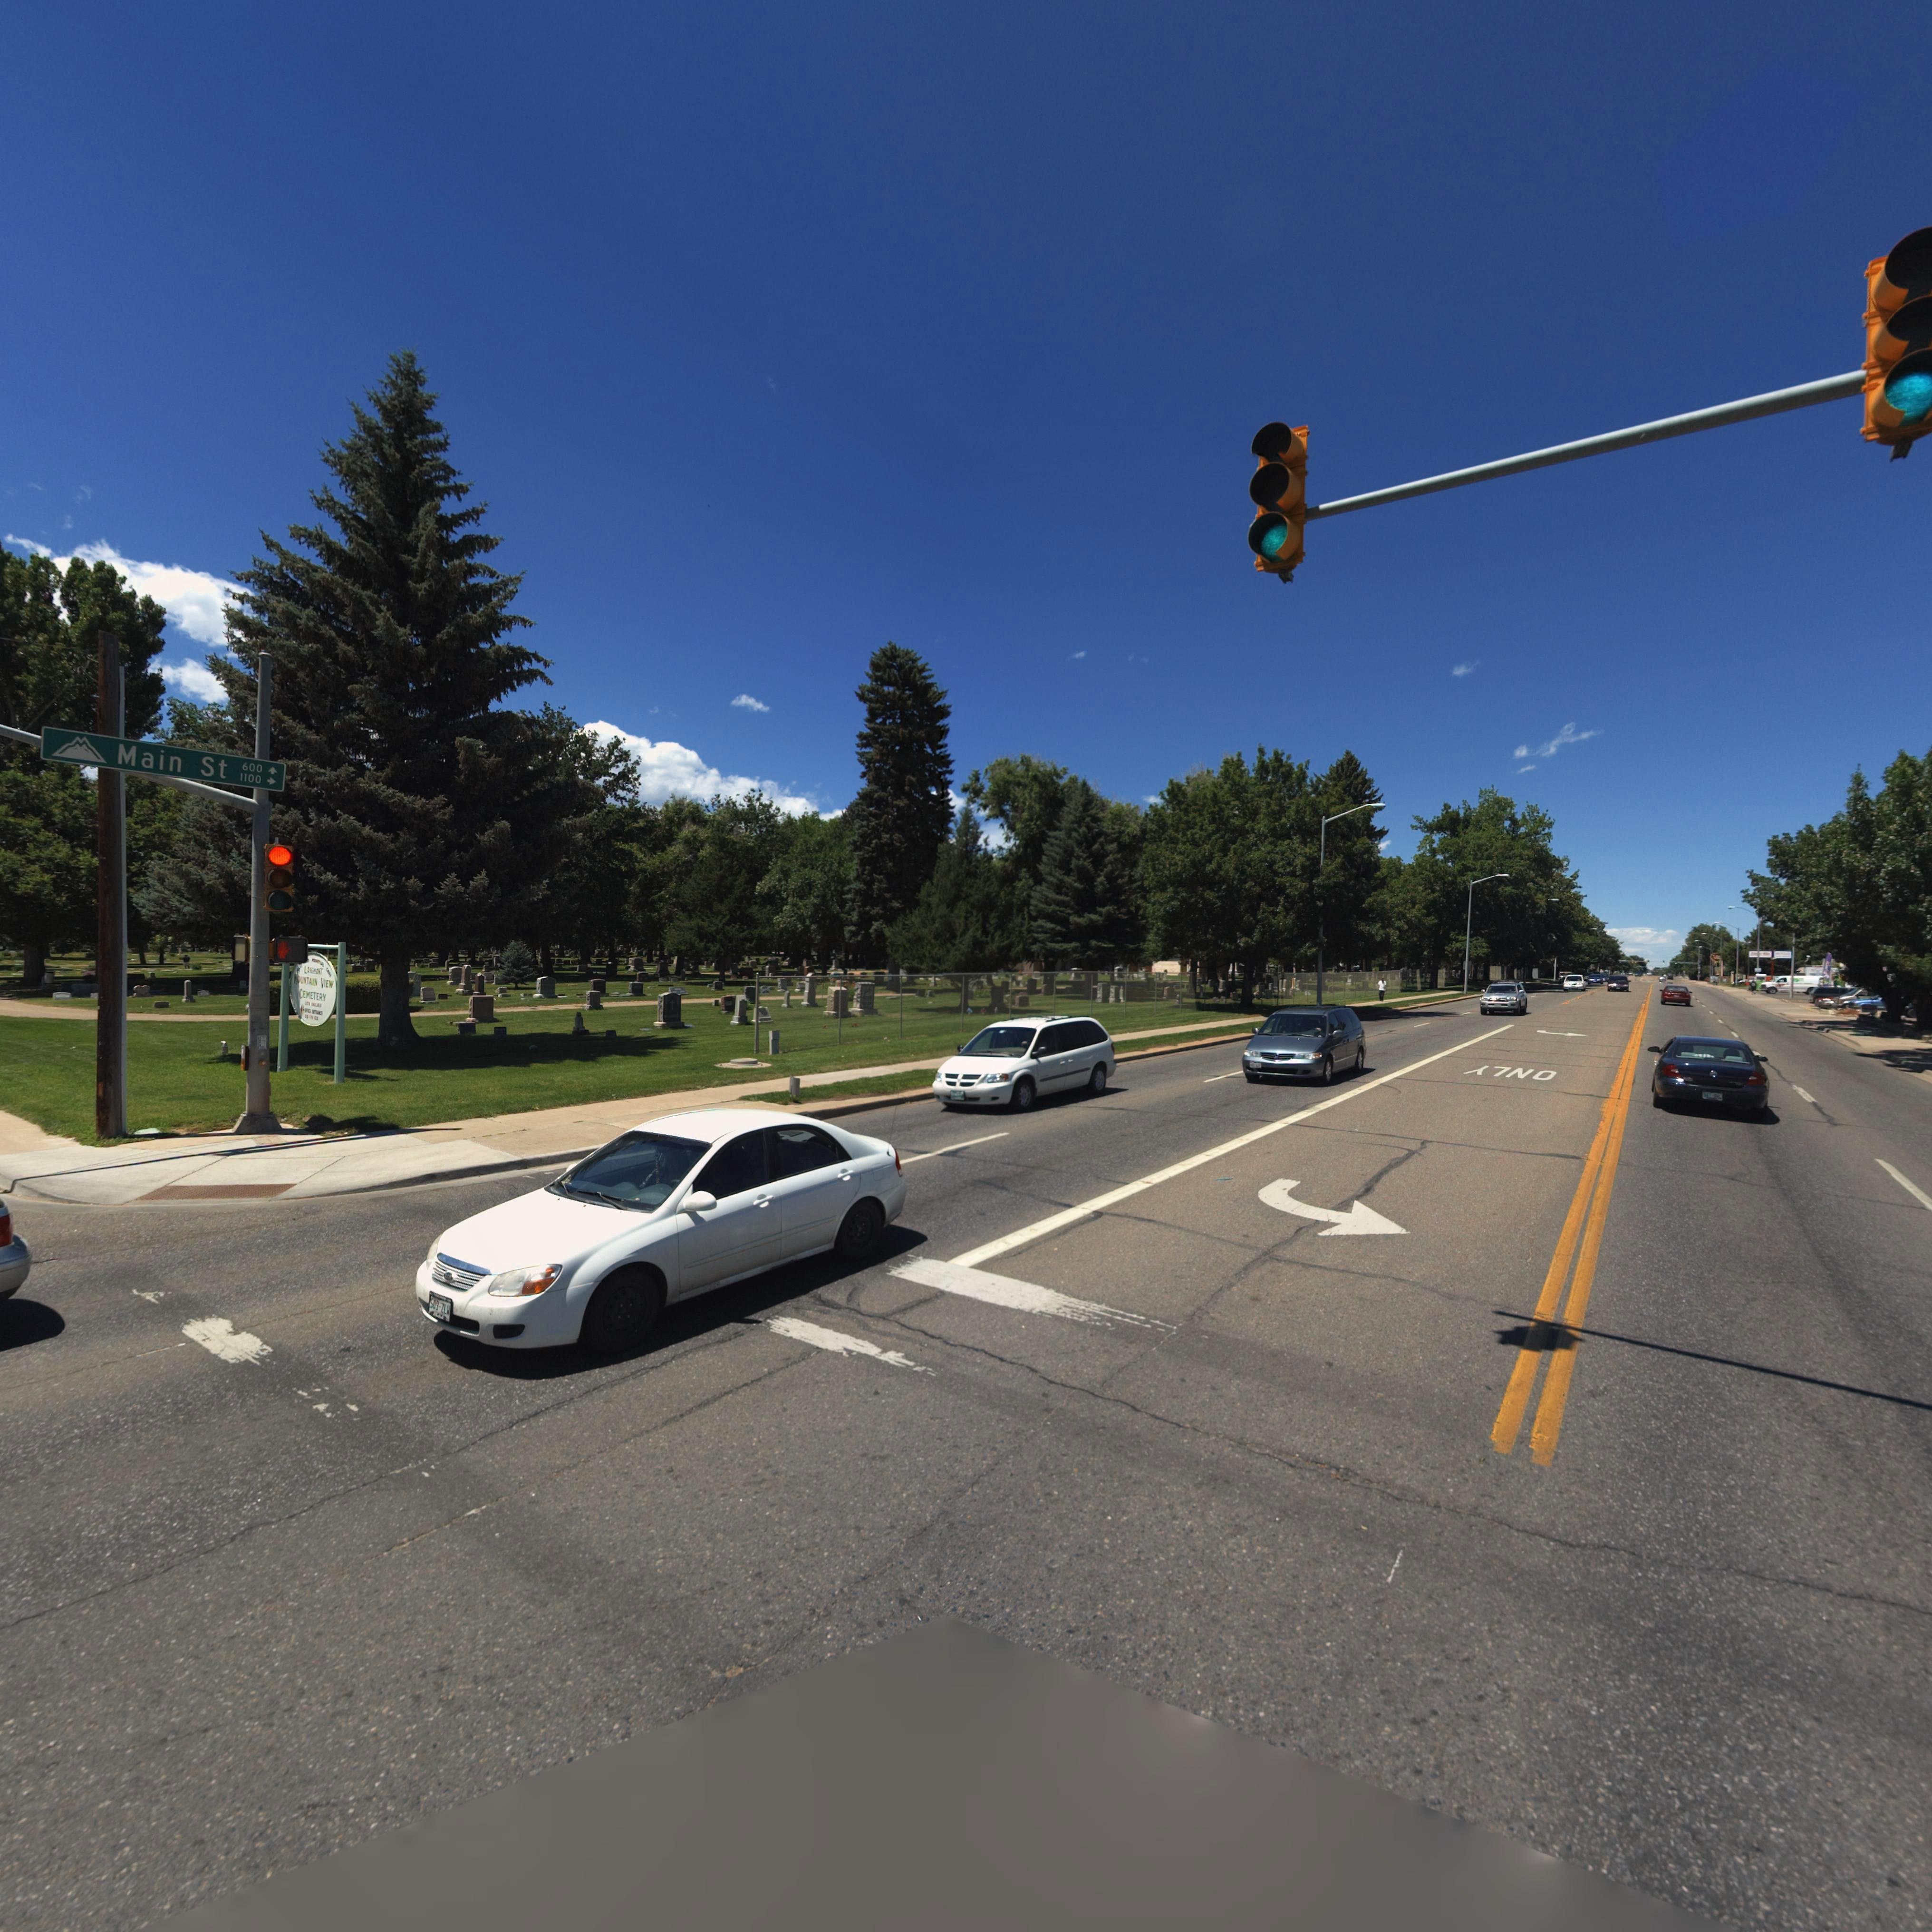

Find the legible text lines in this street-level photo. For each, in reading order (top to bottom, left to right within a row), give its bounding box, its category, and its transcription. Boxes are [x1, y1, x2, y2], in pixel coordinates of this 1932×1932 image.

[116, 742, 228, 781] StreetName: Main St
[241, 761, 263, 773] StreetNumberRange: 600
[240, 773, 277, 785] StreetNumberRange: 1100->
[303, 966, 324, 976] BusinessName: LONGMONT
[293, 974, 335, 990] BusinessName: MOUNTAIN VIEW
[298, 987, 327, 1002] BusinessName: CEMETERY